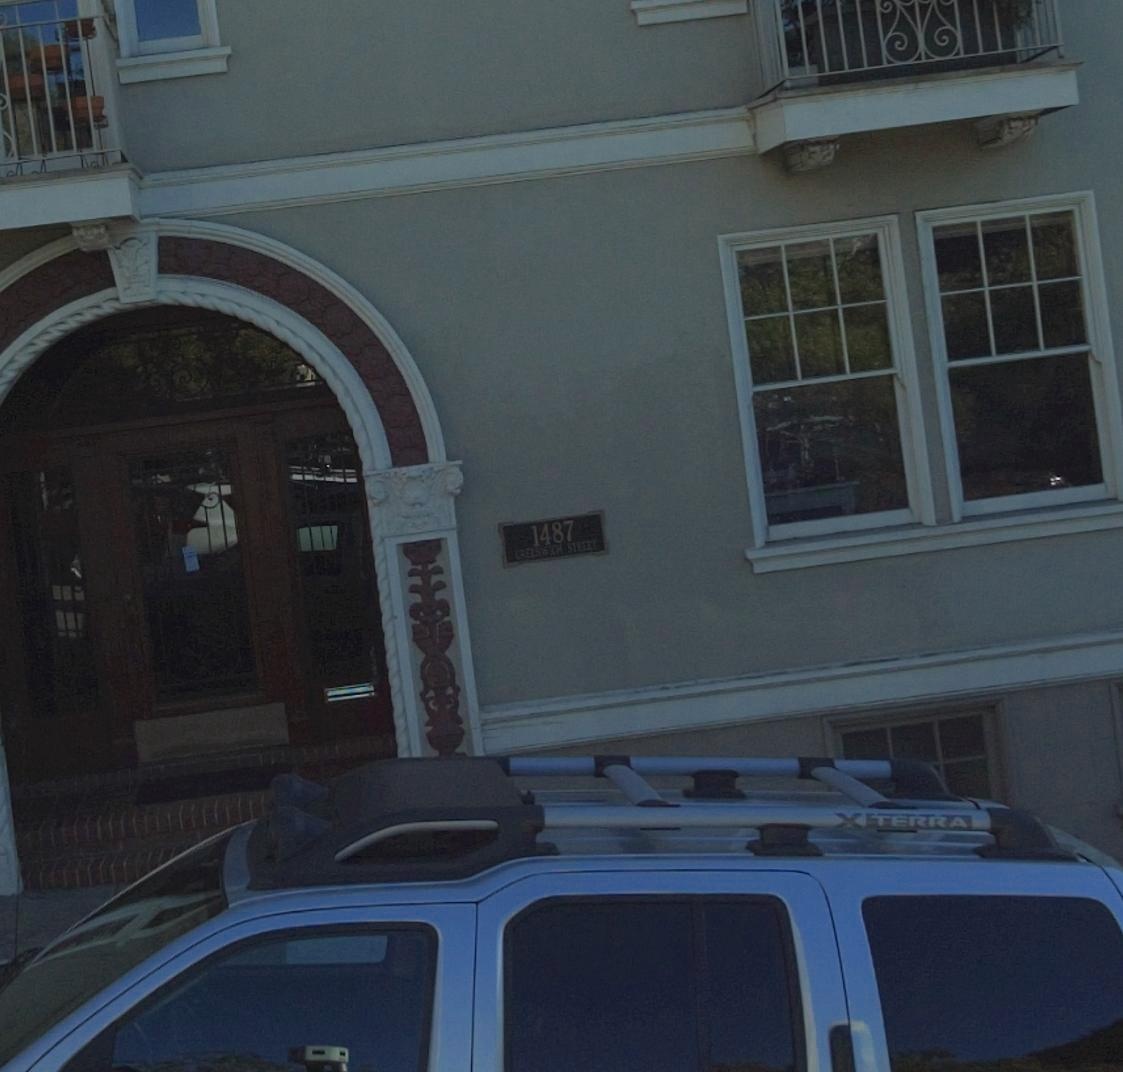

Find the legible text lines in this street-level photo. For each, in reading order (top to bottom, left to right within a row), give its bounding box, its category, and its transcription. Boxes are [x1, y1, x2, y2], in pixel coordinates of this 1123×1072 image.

[524, 517, 577, 549] StreetNumber: 1487
[514, 538, 599, 561] StreetName: GREENWICK STREET
[833, 810, 971, 831] None: XTERRA